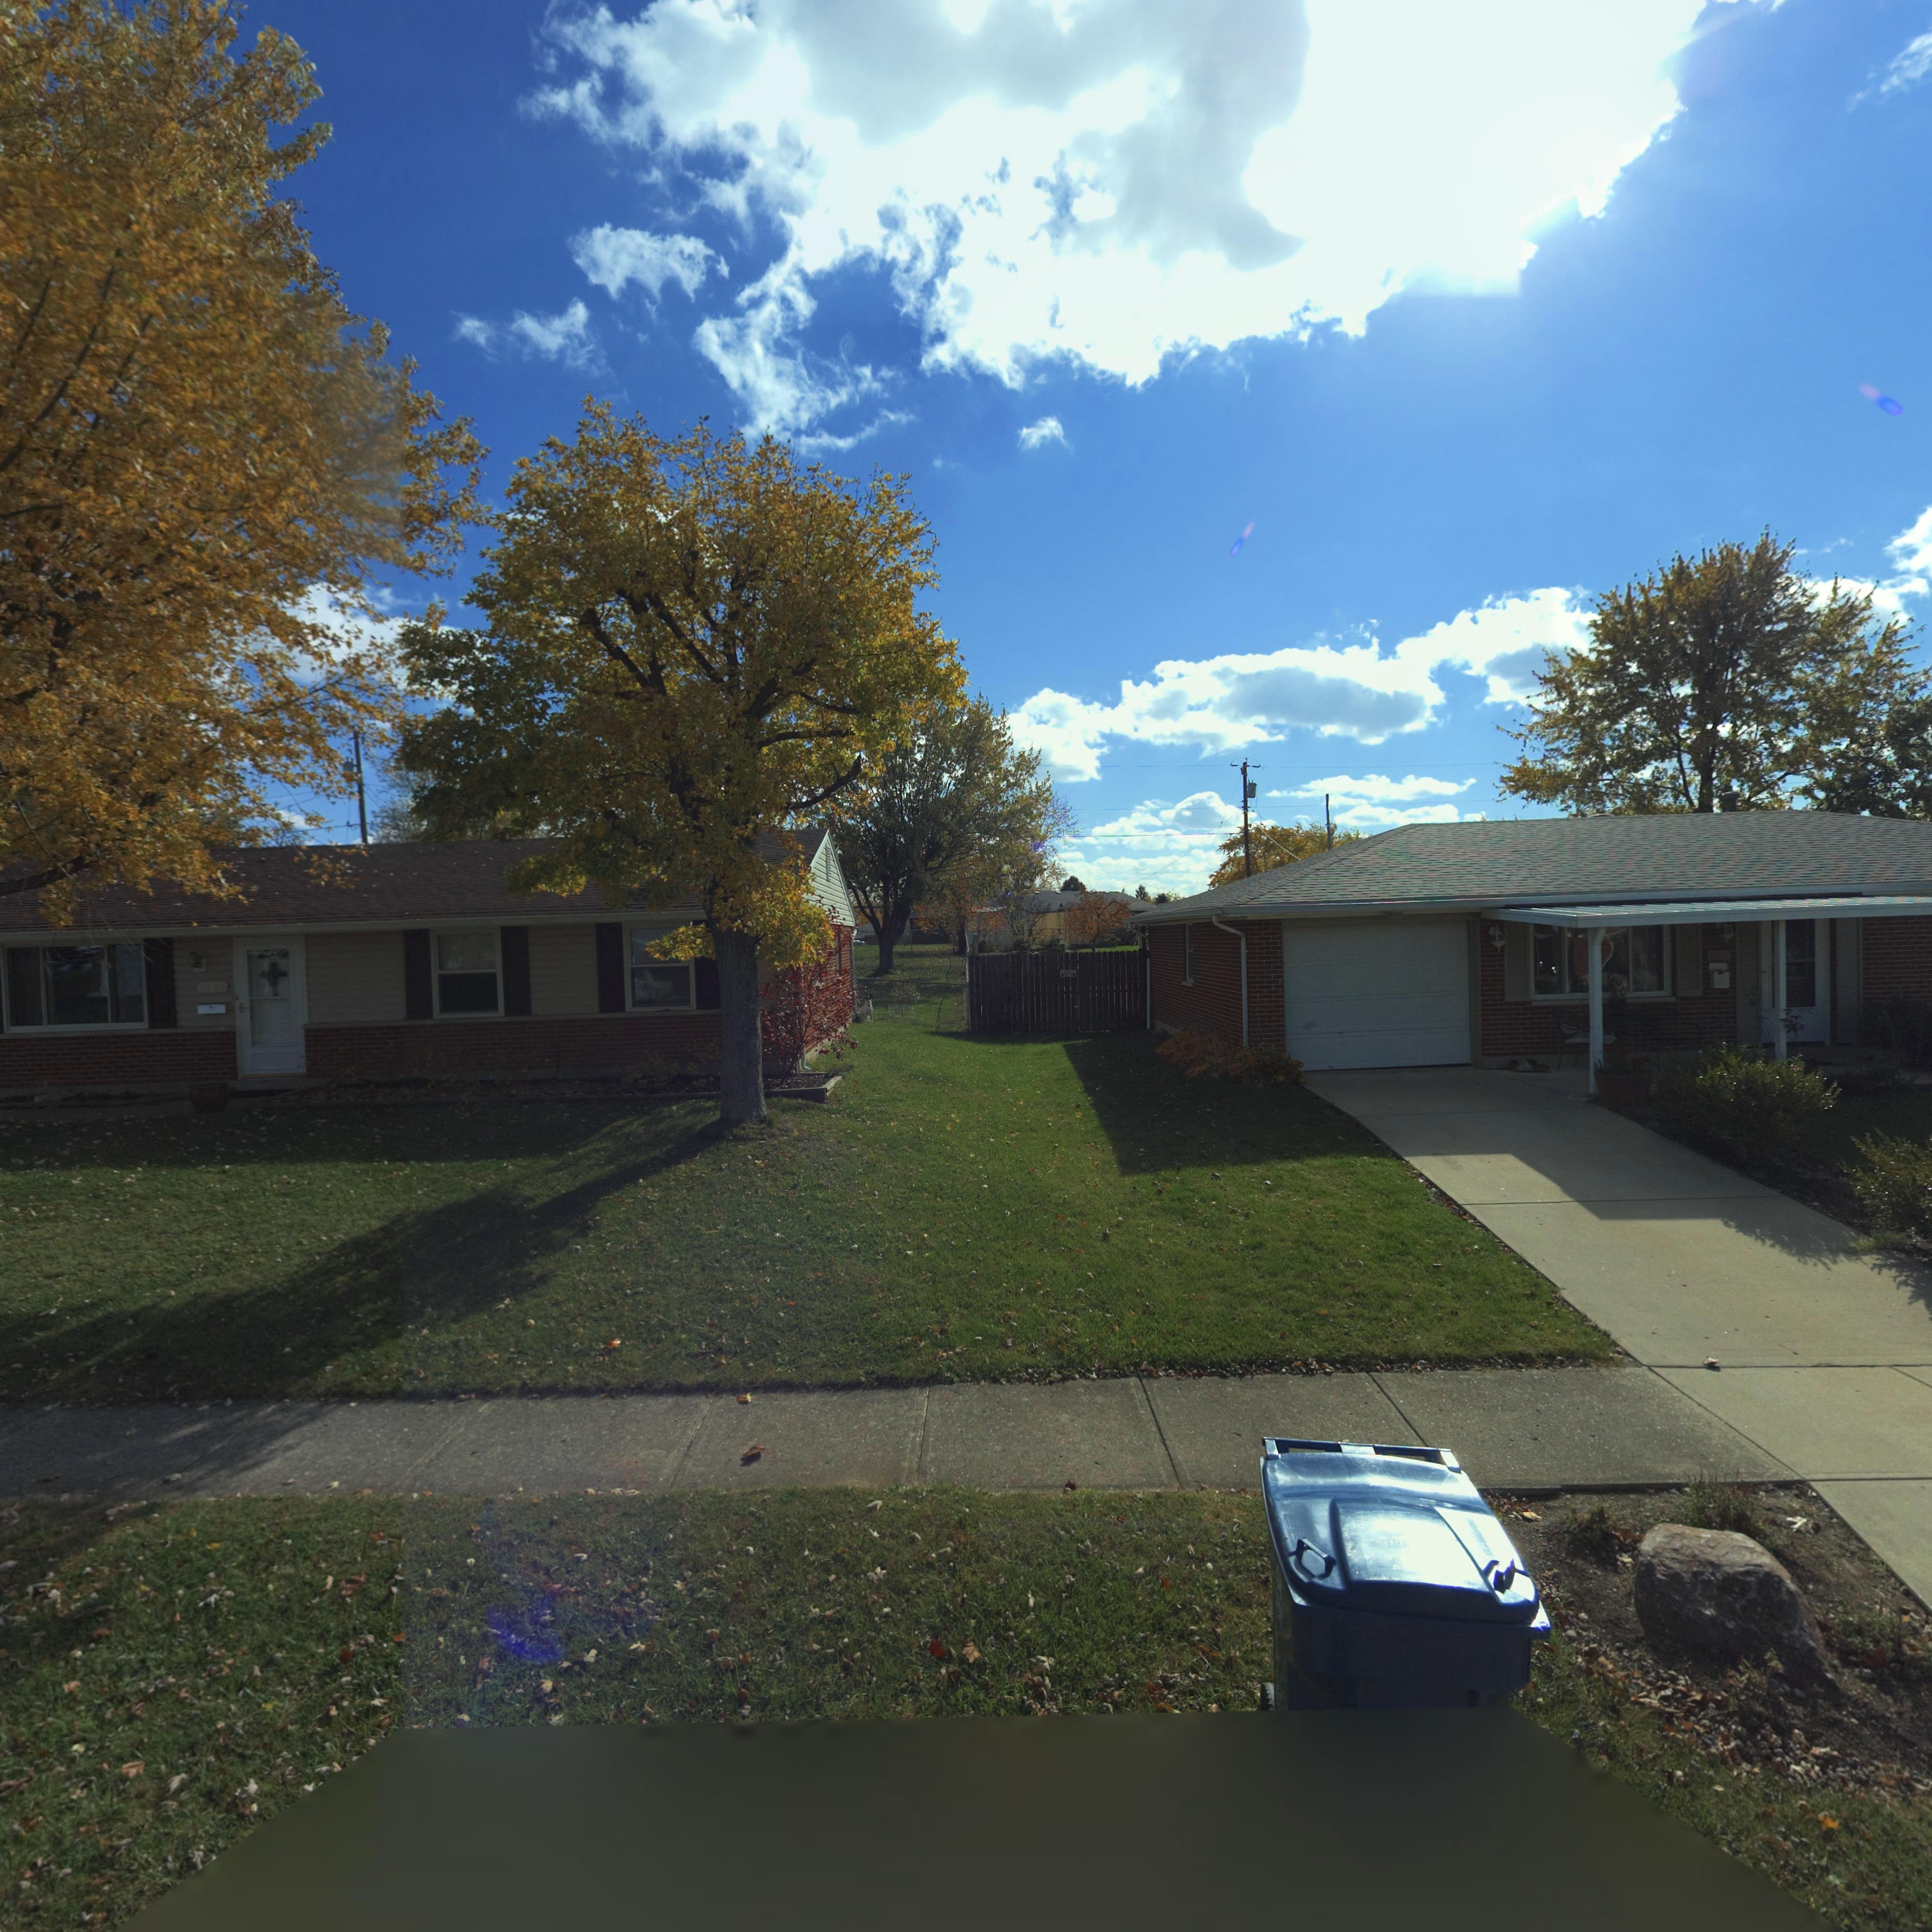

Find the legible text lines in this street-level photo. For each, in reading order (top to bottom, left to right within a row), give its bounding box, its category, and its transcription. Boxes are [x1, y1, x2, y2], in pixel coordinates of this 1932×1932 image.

[1709, 951, 1715, 959] StreetNumber: 7
[199, 982, 226, 993] StreetNumber: 7630